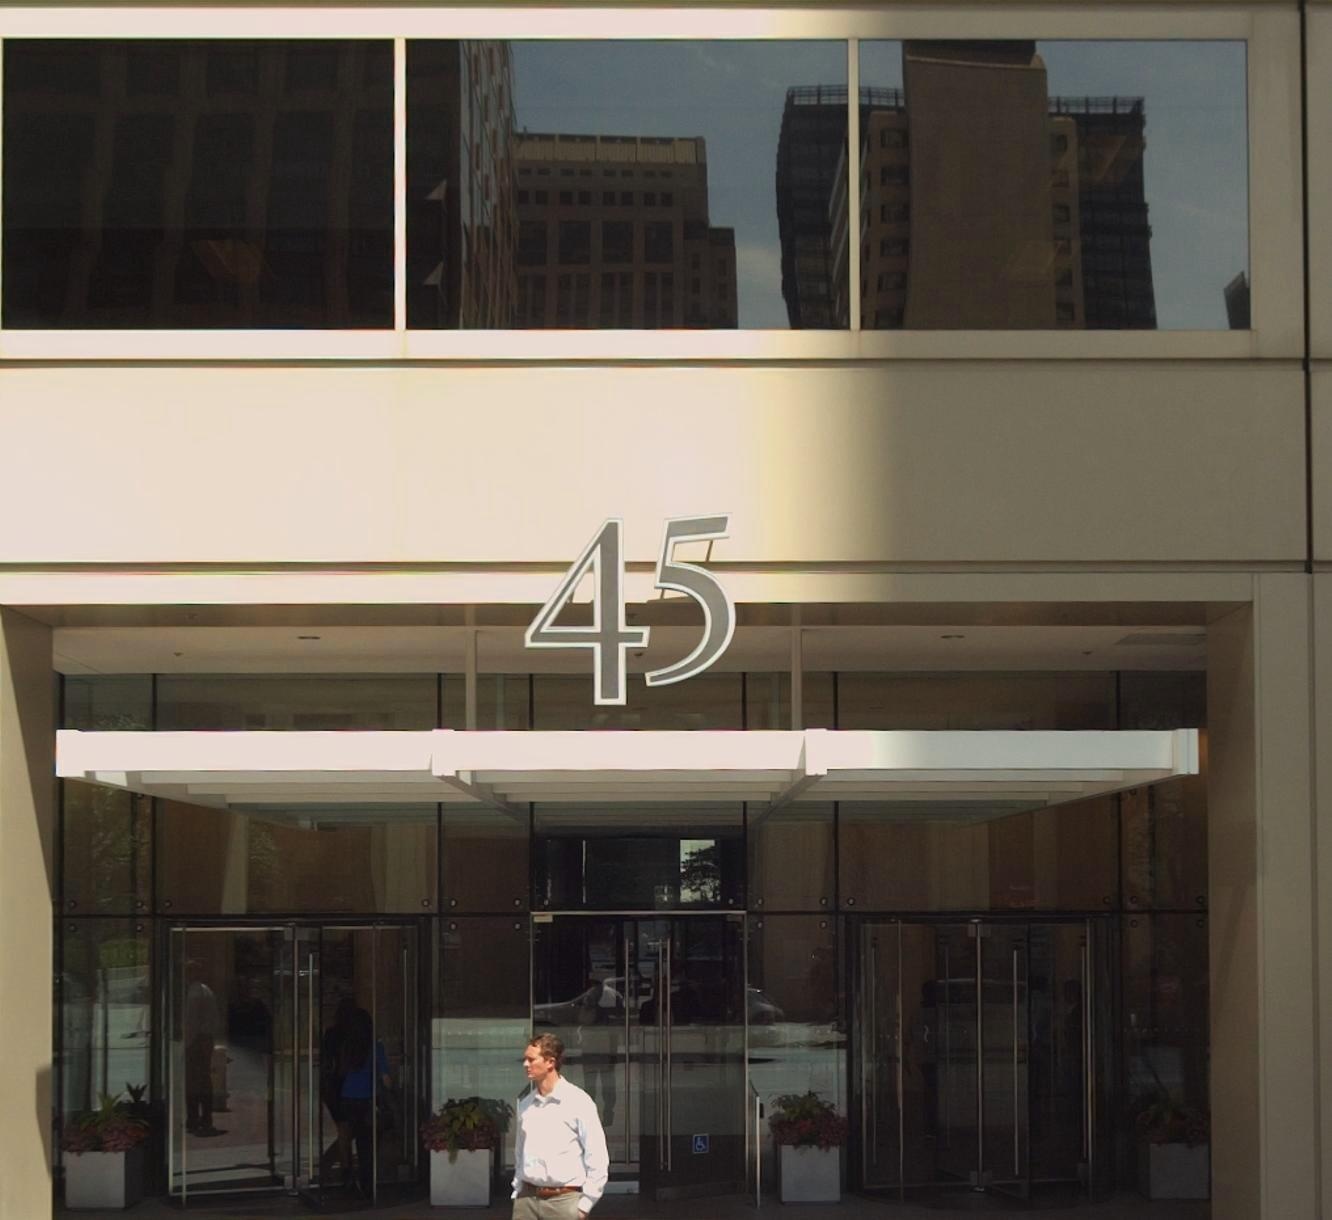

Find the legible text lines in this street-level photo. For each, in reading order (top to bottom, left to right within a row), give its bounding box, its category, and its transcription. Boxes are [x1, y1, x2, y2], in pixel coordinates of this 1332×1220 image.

[520, 510, 741, 711] StreetNumber: 45